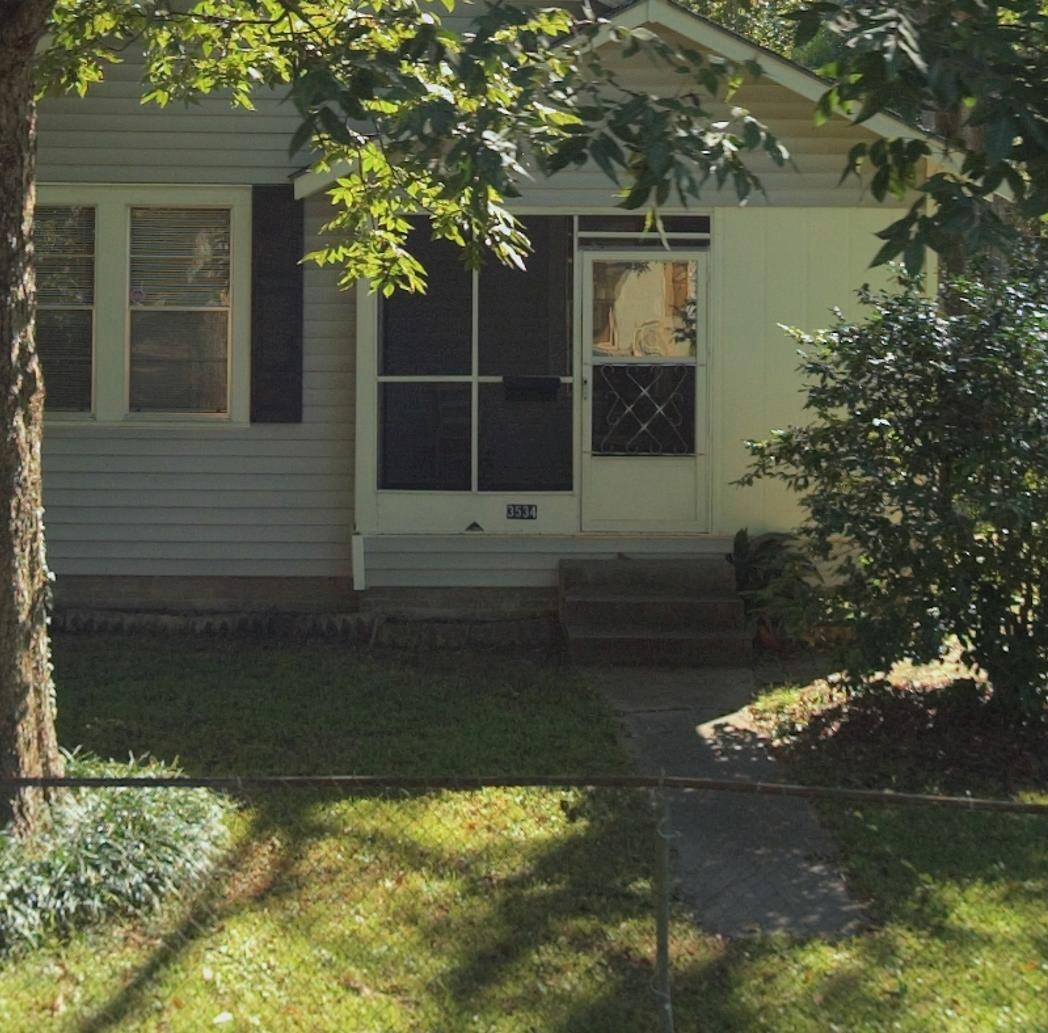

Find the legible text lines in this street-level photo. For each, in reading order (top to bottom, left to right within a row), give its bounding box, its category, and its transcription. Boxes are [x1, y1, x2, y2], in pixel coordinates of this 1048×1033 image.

[506, 504, 537, 519] StreetNumber: 3534